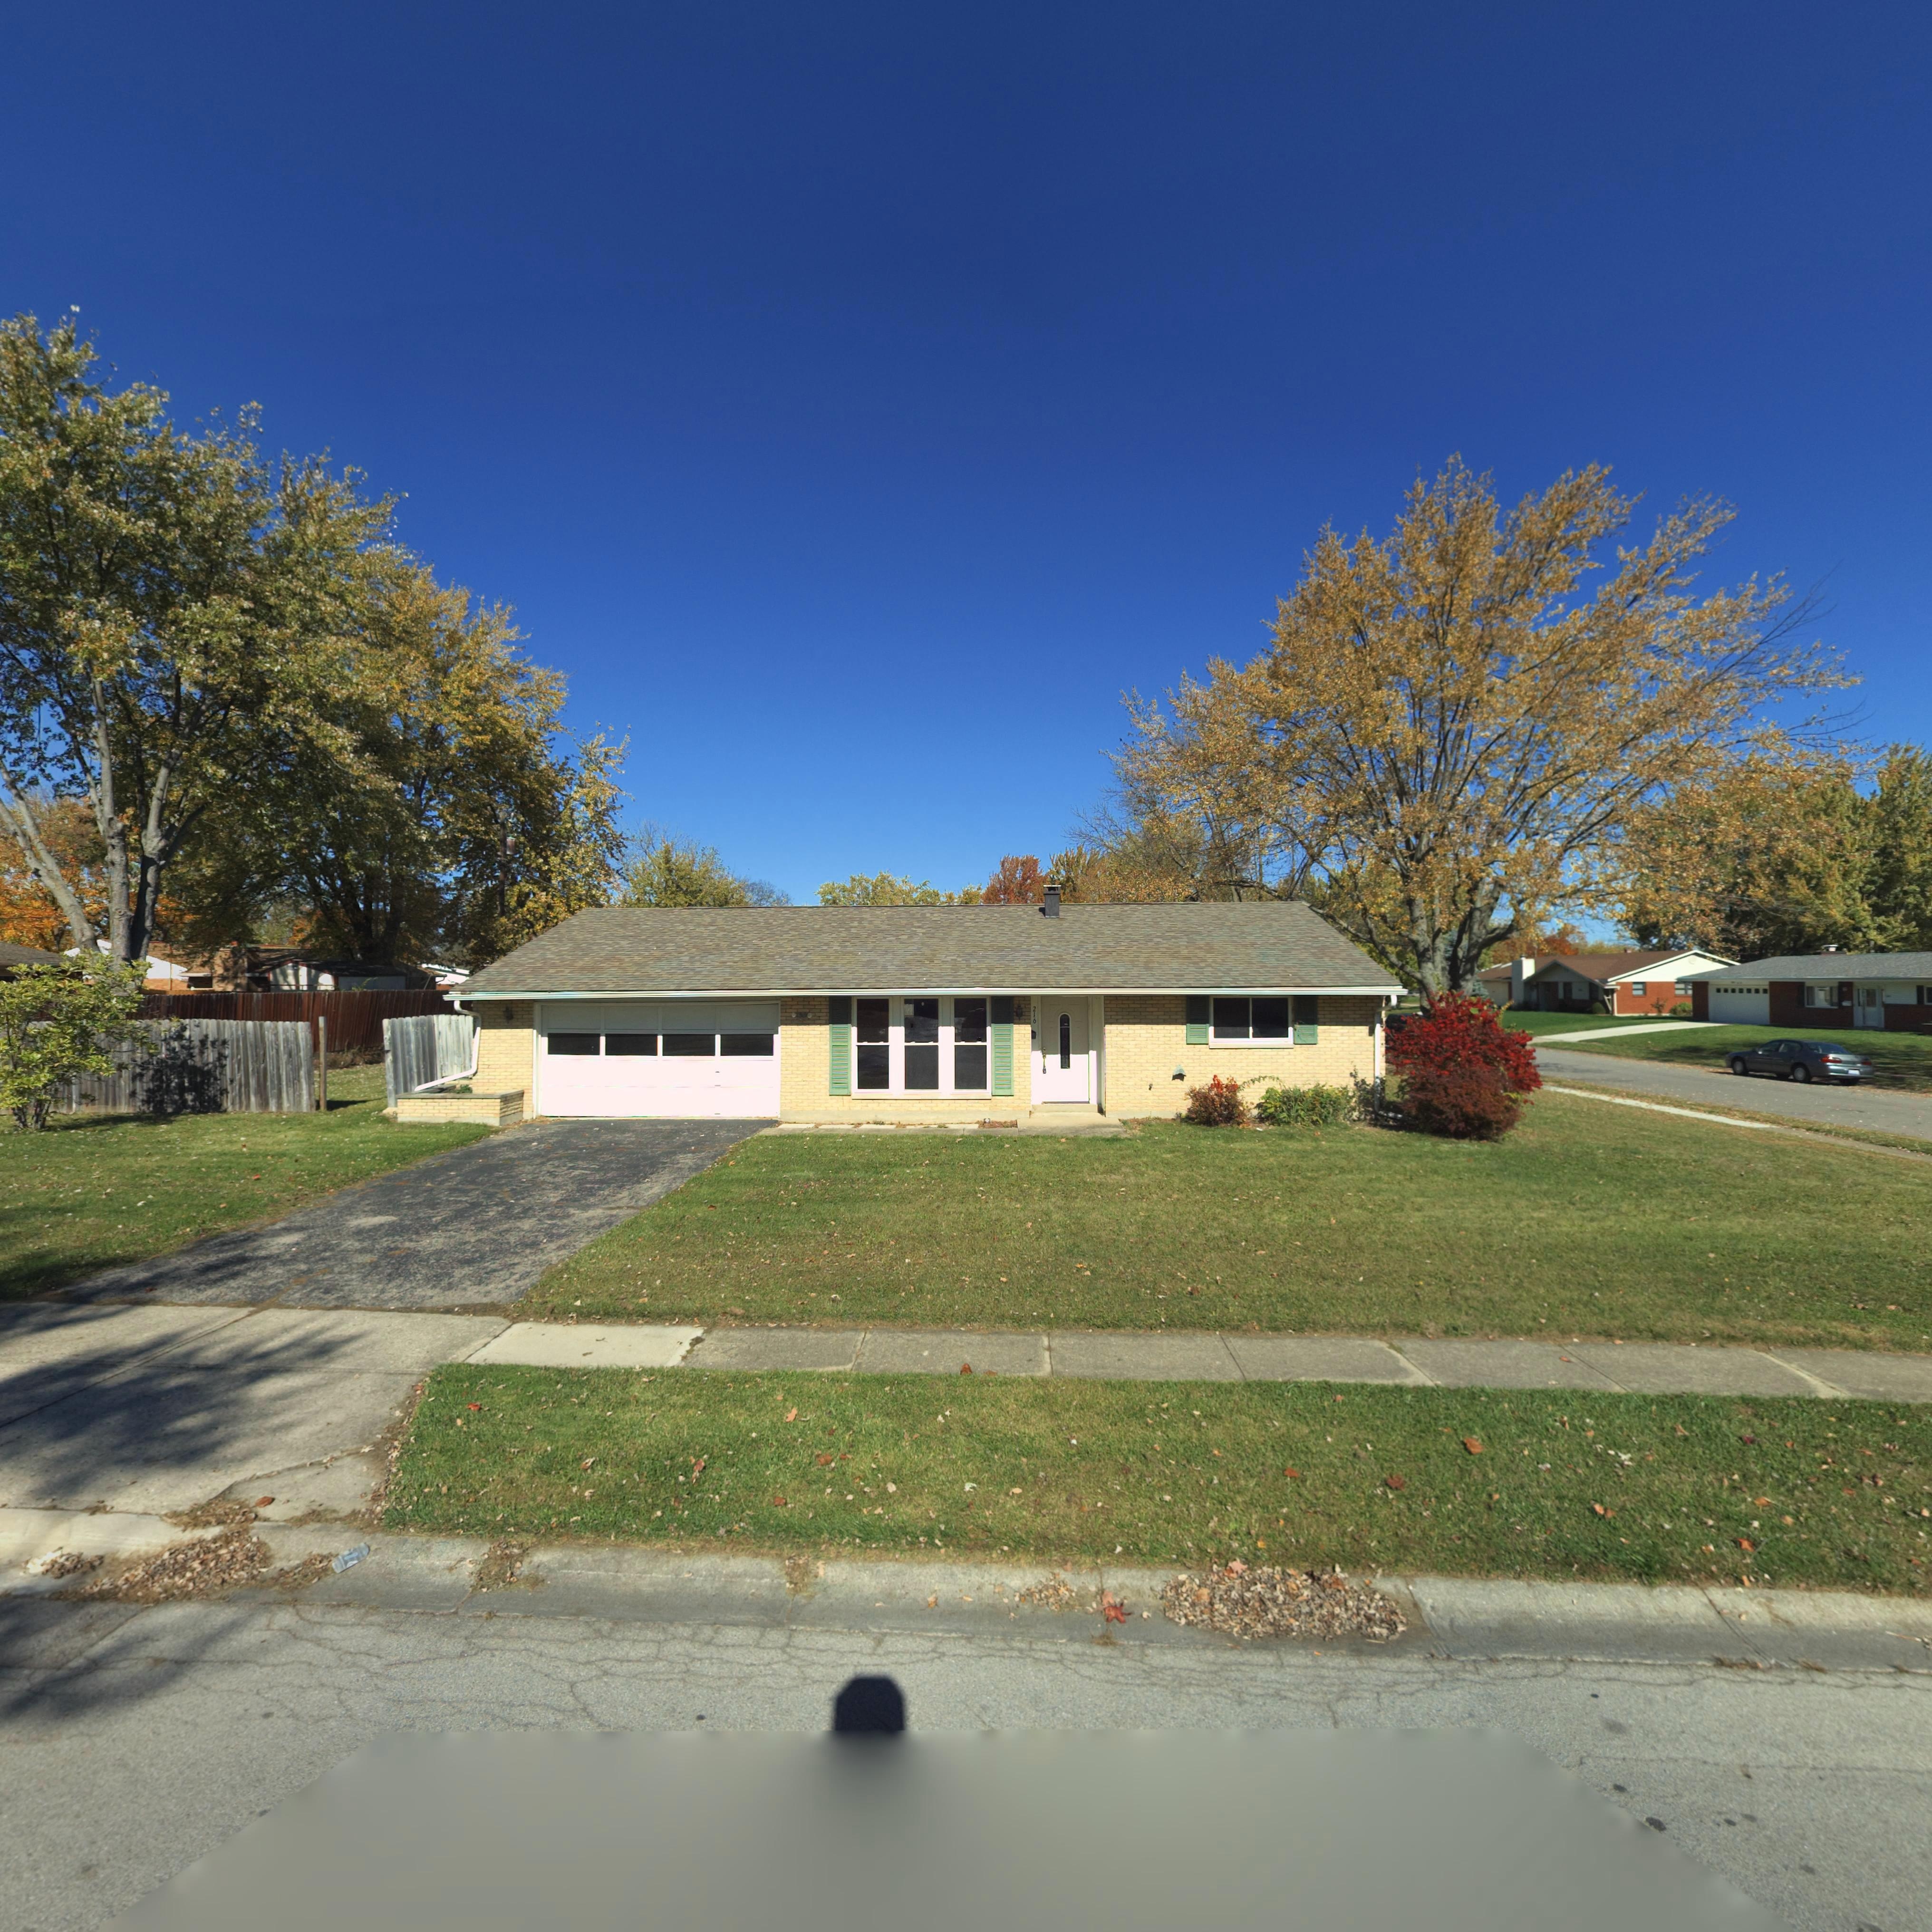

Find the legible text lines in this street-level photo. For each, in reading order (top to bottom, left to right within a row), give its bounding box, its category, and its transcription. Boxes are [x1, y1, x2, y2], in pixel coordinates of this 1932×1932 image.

[1033, 1005, 1036, 1024] StreetNumber: 216